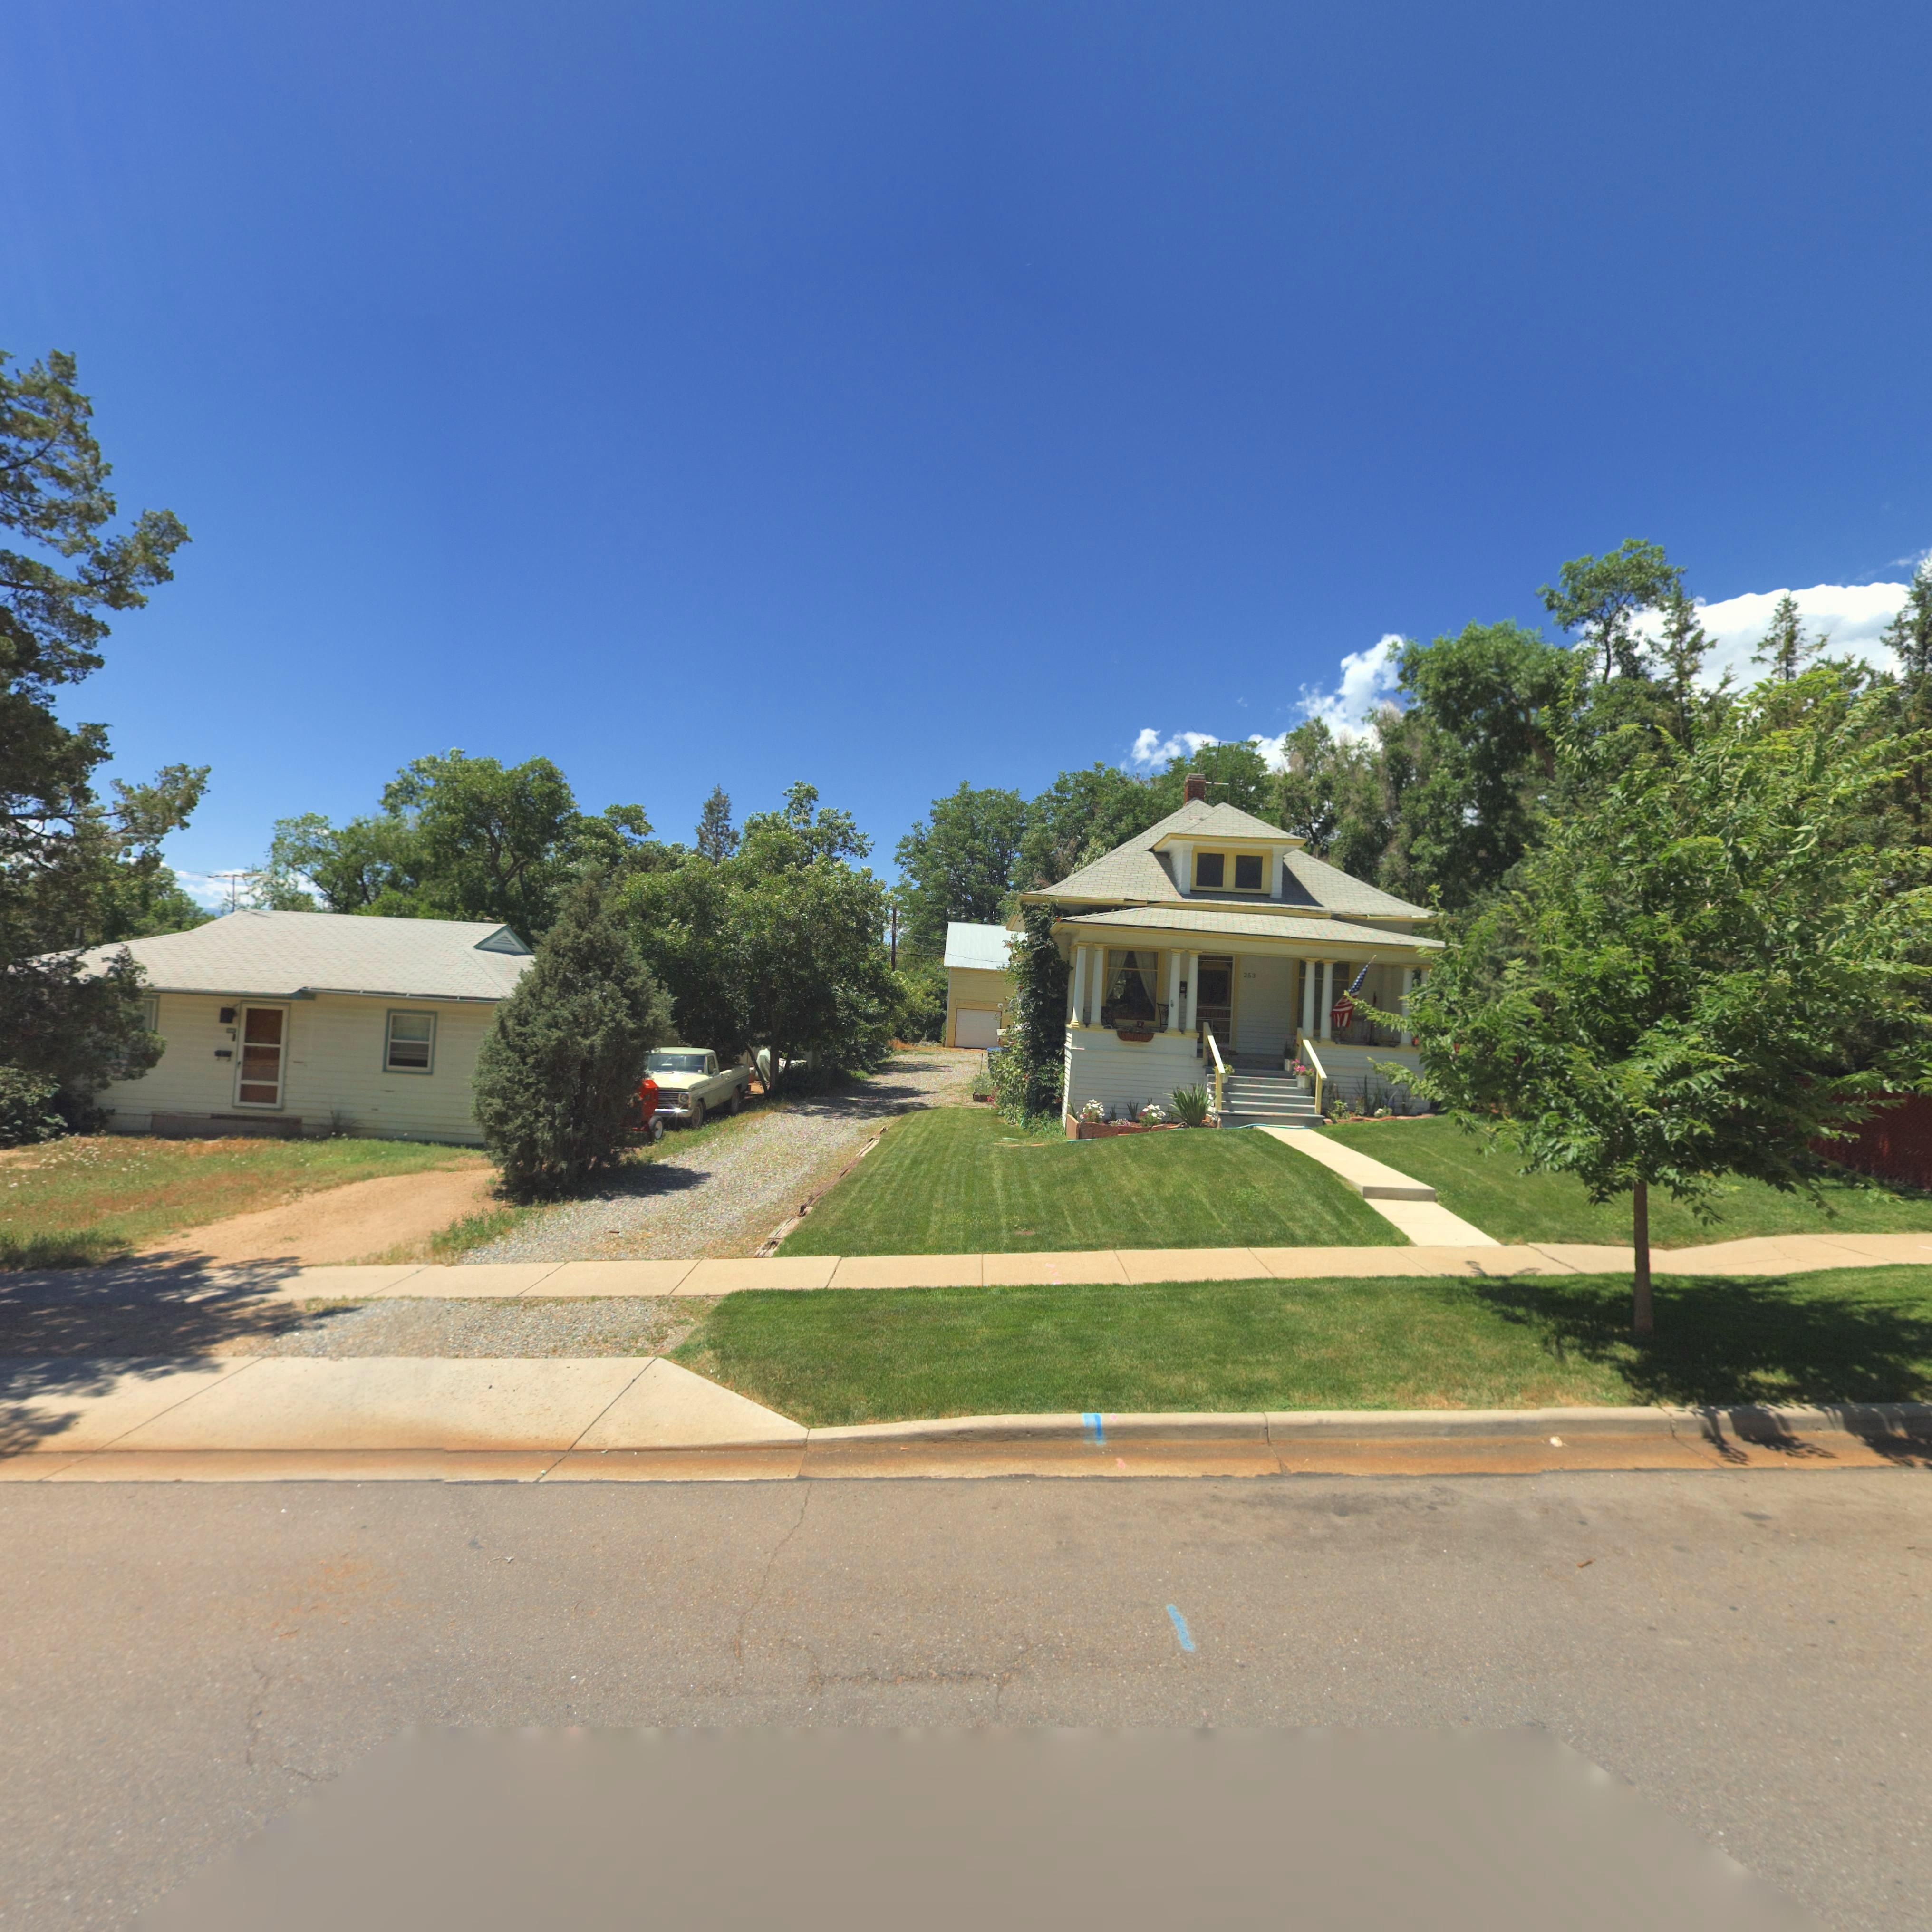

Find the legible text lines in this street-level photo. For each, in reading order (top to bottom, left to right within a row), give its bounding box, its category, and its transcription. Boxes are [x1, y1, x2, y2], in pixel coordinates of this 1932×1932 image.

[1243, 972, 1256, 978] StreetNumber: 253